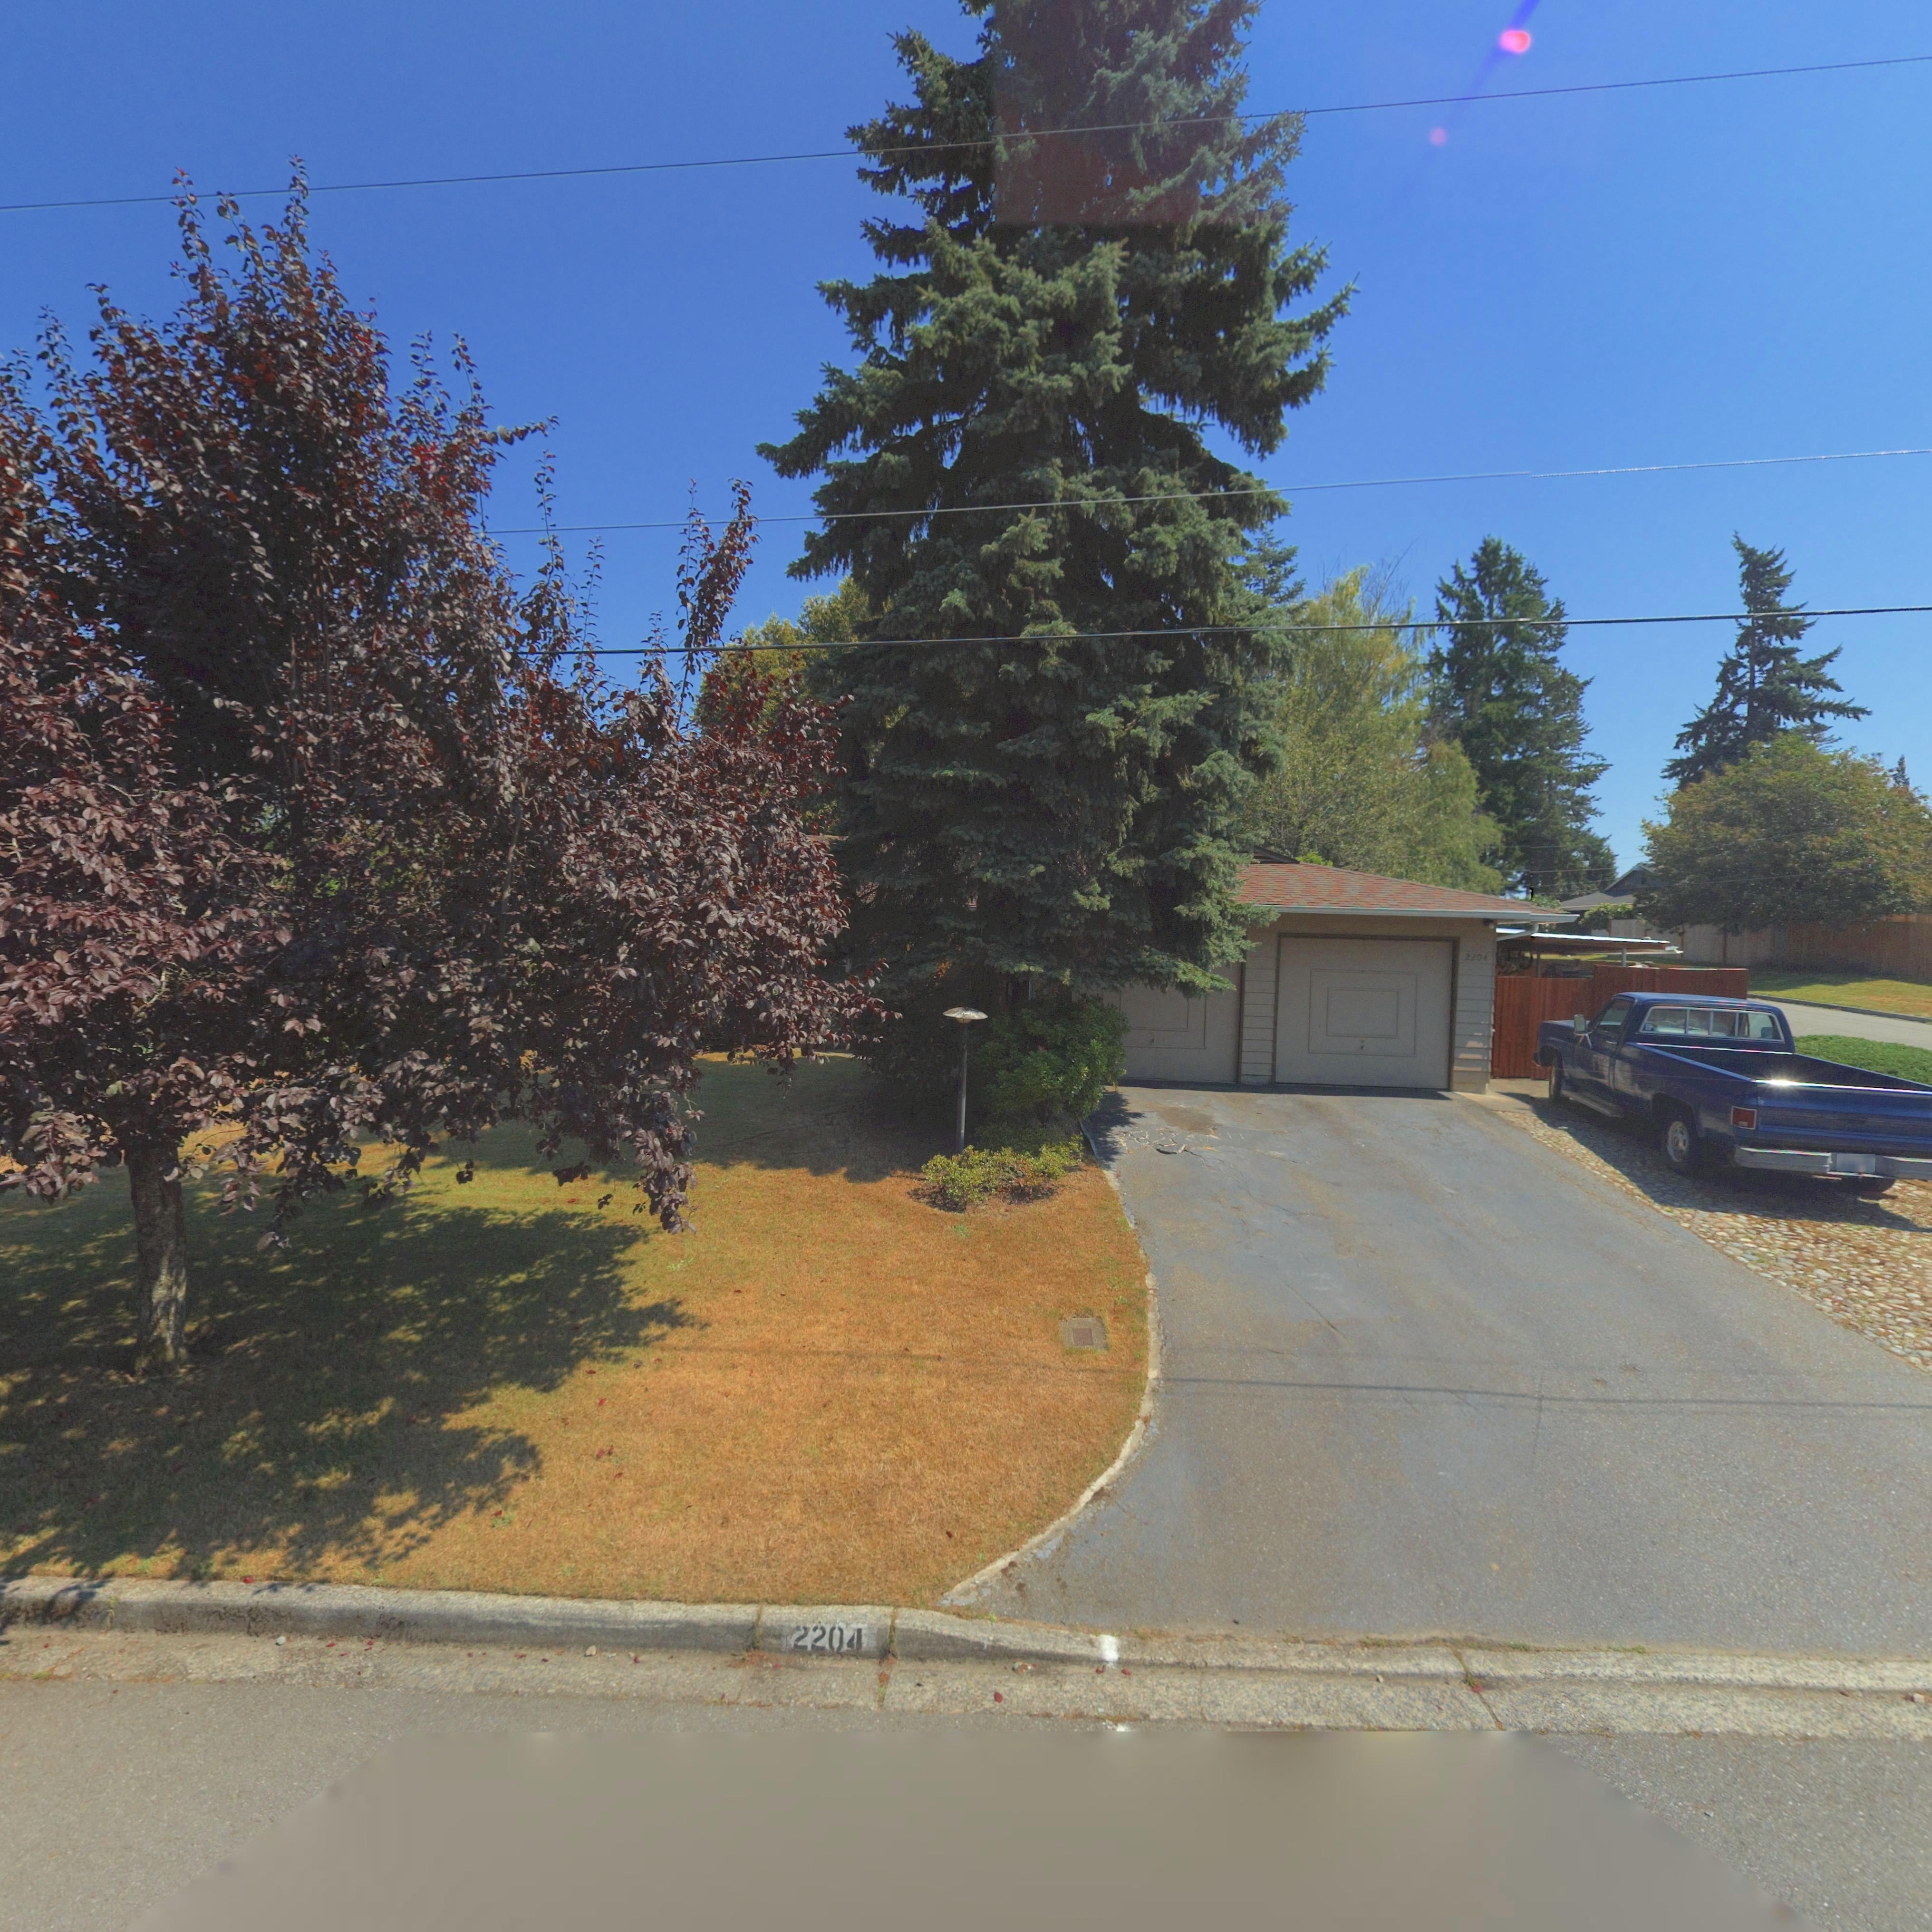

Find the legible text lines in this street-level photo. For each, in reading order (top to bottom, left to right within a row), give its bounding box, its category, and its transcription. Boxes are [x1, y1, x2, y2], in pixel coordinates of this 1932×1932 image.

[1460, 951, 1491, 962] StreetNumber: 2204